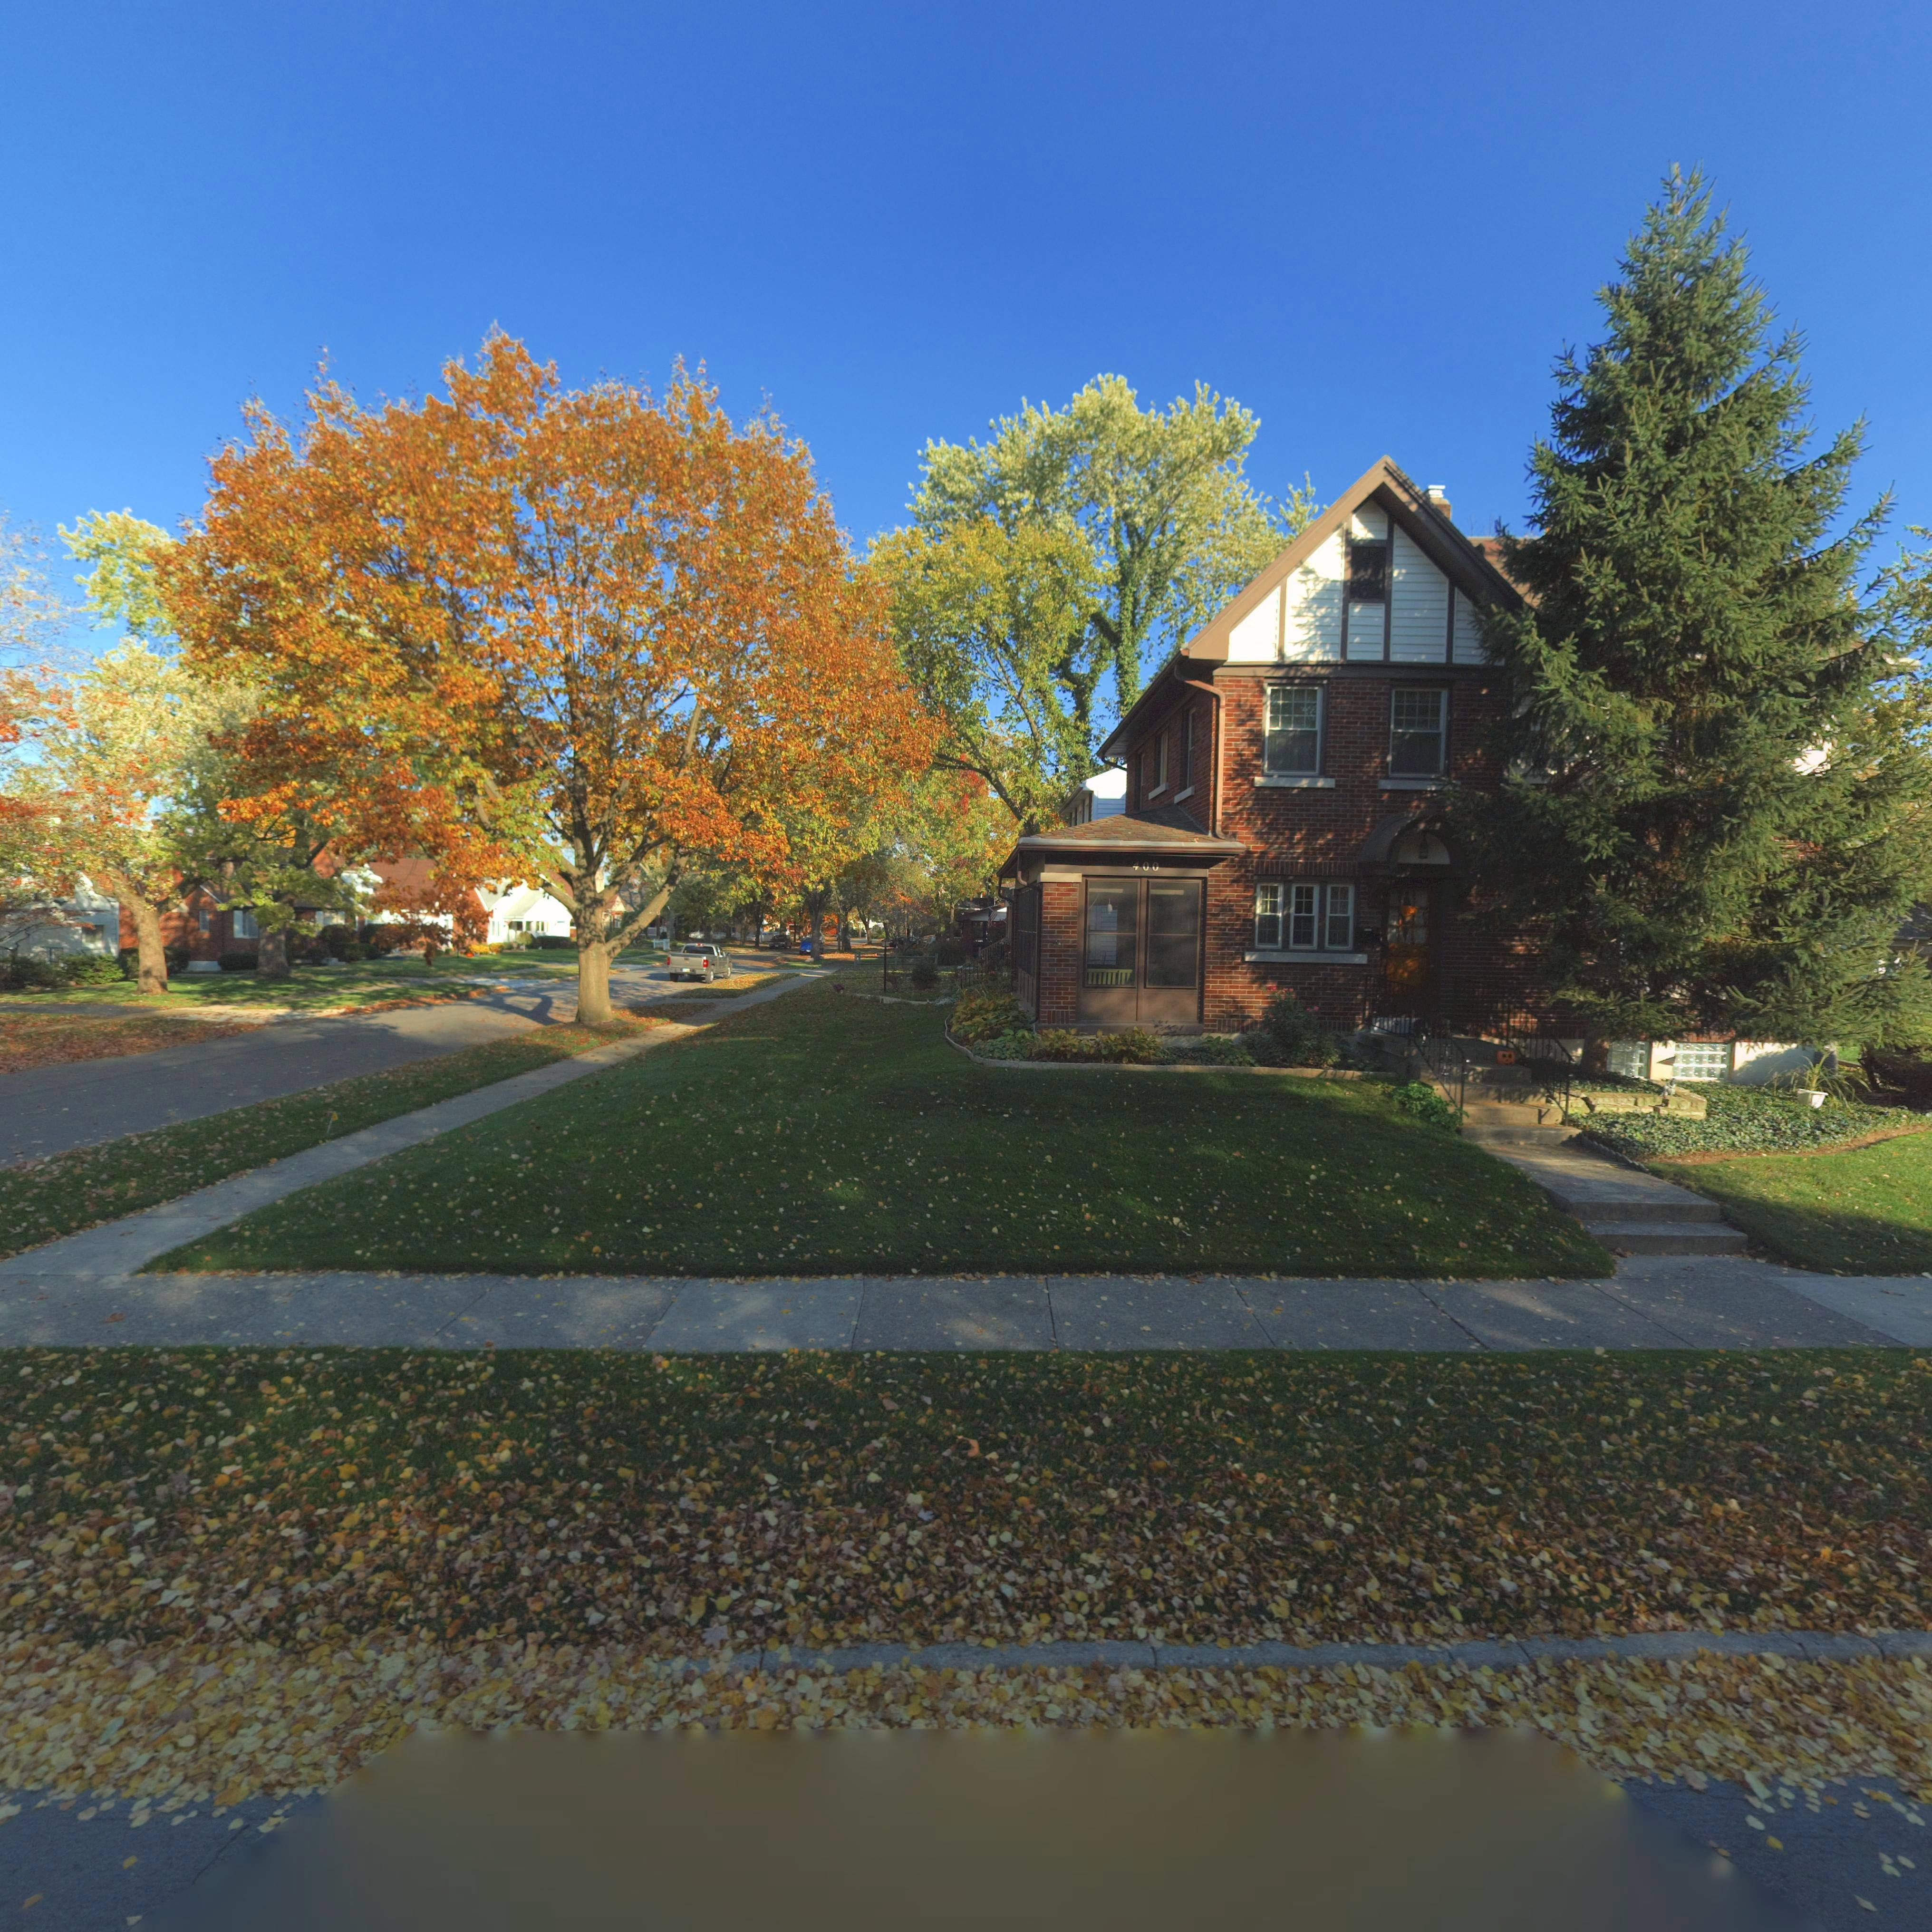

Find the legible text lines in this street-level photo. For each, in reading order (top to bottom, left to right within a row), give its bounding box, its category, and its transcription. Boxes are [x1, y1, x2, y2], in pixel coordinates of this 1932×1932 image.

[1131, 860, 1159, 872] StreetNumber: 400